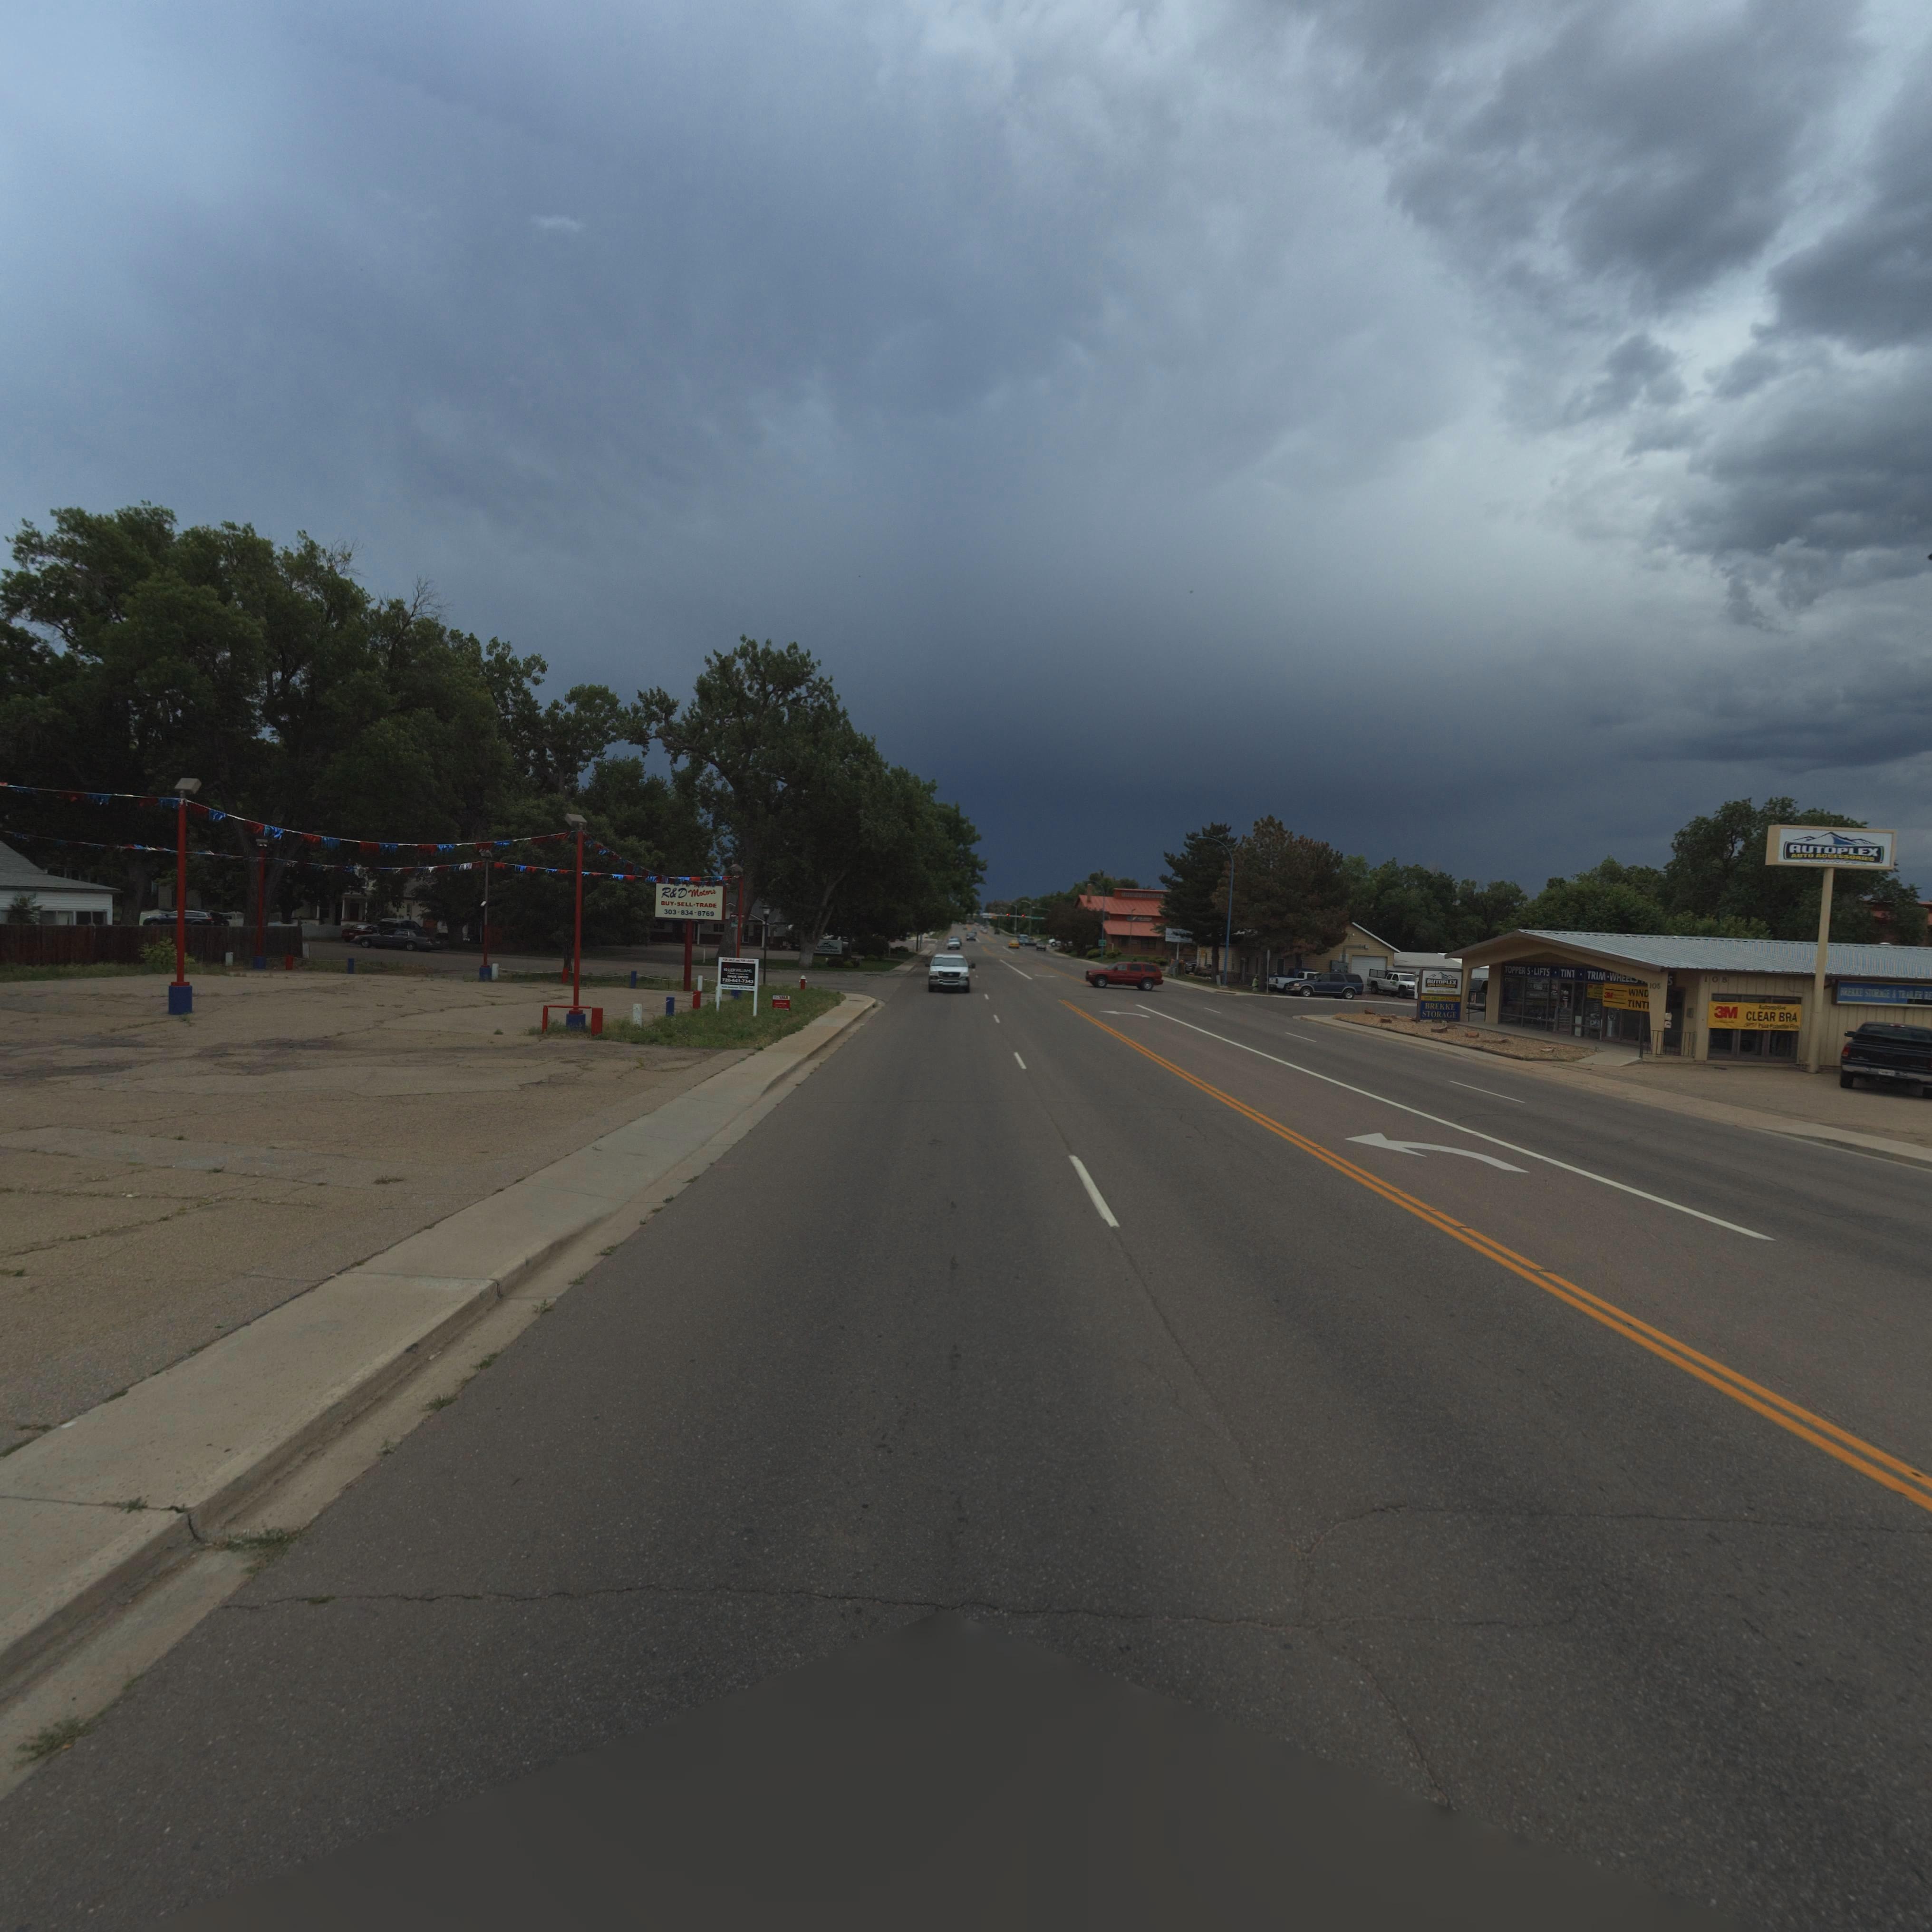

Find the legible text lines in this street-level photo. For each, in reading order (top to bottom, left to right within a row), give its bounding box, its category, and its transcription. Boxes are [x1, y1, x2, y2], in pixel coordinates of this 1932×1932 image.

[1788, 844, 1879, 857] BusinessName: AUTOPLEX
[1790, 853, 1875, 862] BusinessName: AUTO ACCESSORIES
[660, 886, 687, 899] BusinessName: R&D
[688, 889, 716, 898] BusinessName: Motors
[1427, 984, 1455, 988] BusinessName: AUTO ACCESSORIES
[1427, 979, 1457, 985] BusinessName: AUTOPLEX
[1649, 982, 1661, 989] StreetNumber: 105
[1704, 976, 1728, 983] StreetNumber: 105
[1840, 986, 1929, 999] BusinessName: BREEKE STORAGE & TRAILER R
[1423, 996, 1458, 1001] StreetNumber: 105 3RD AVENUE
[1425, 1002, 1455, 1010] BusinessName: BREKKE
[1421, 1010, 1457, 1019] BusinessName: STORAGE